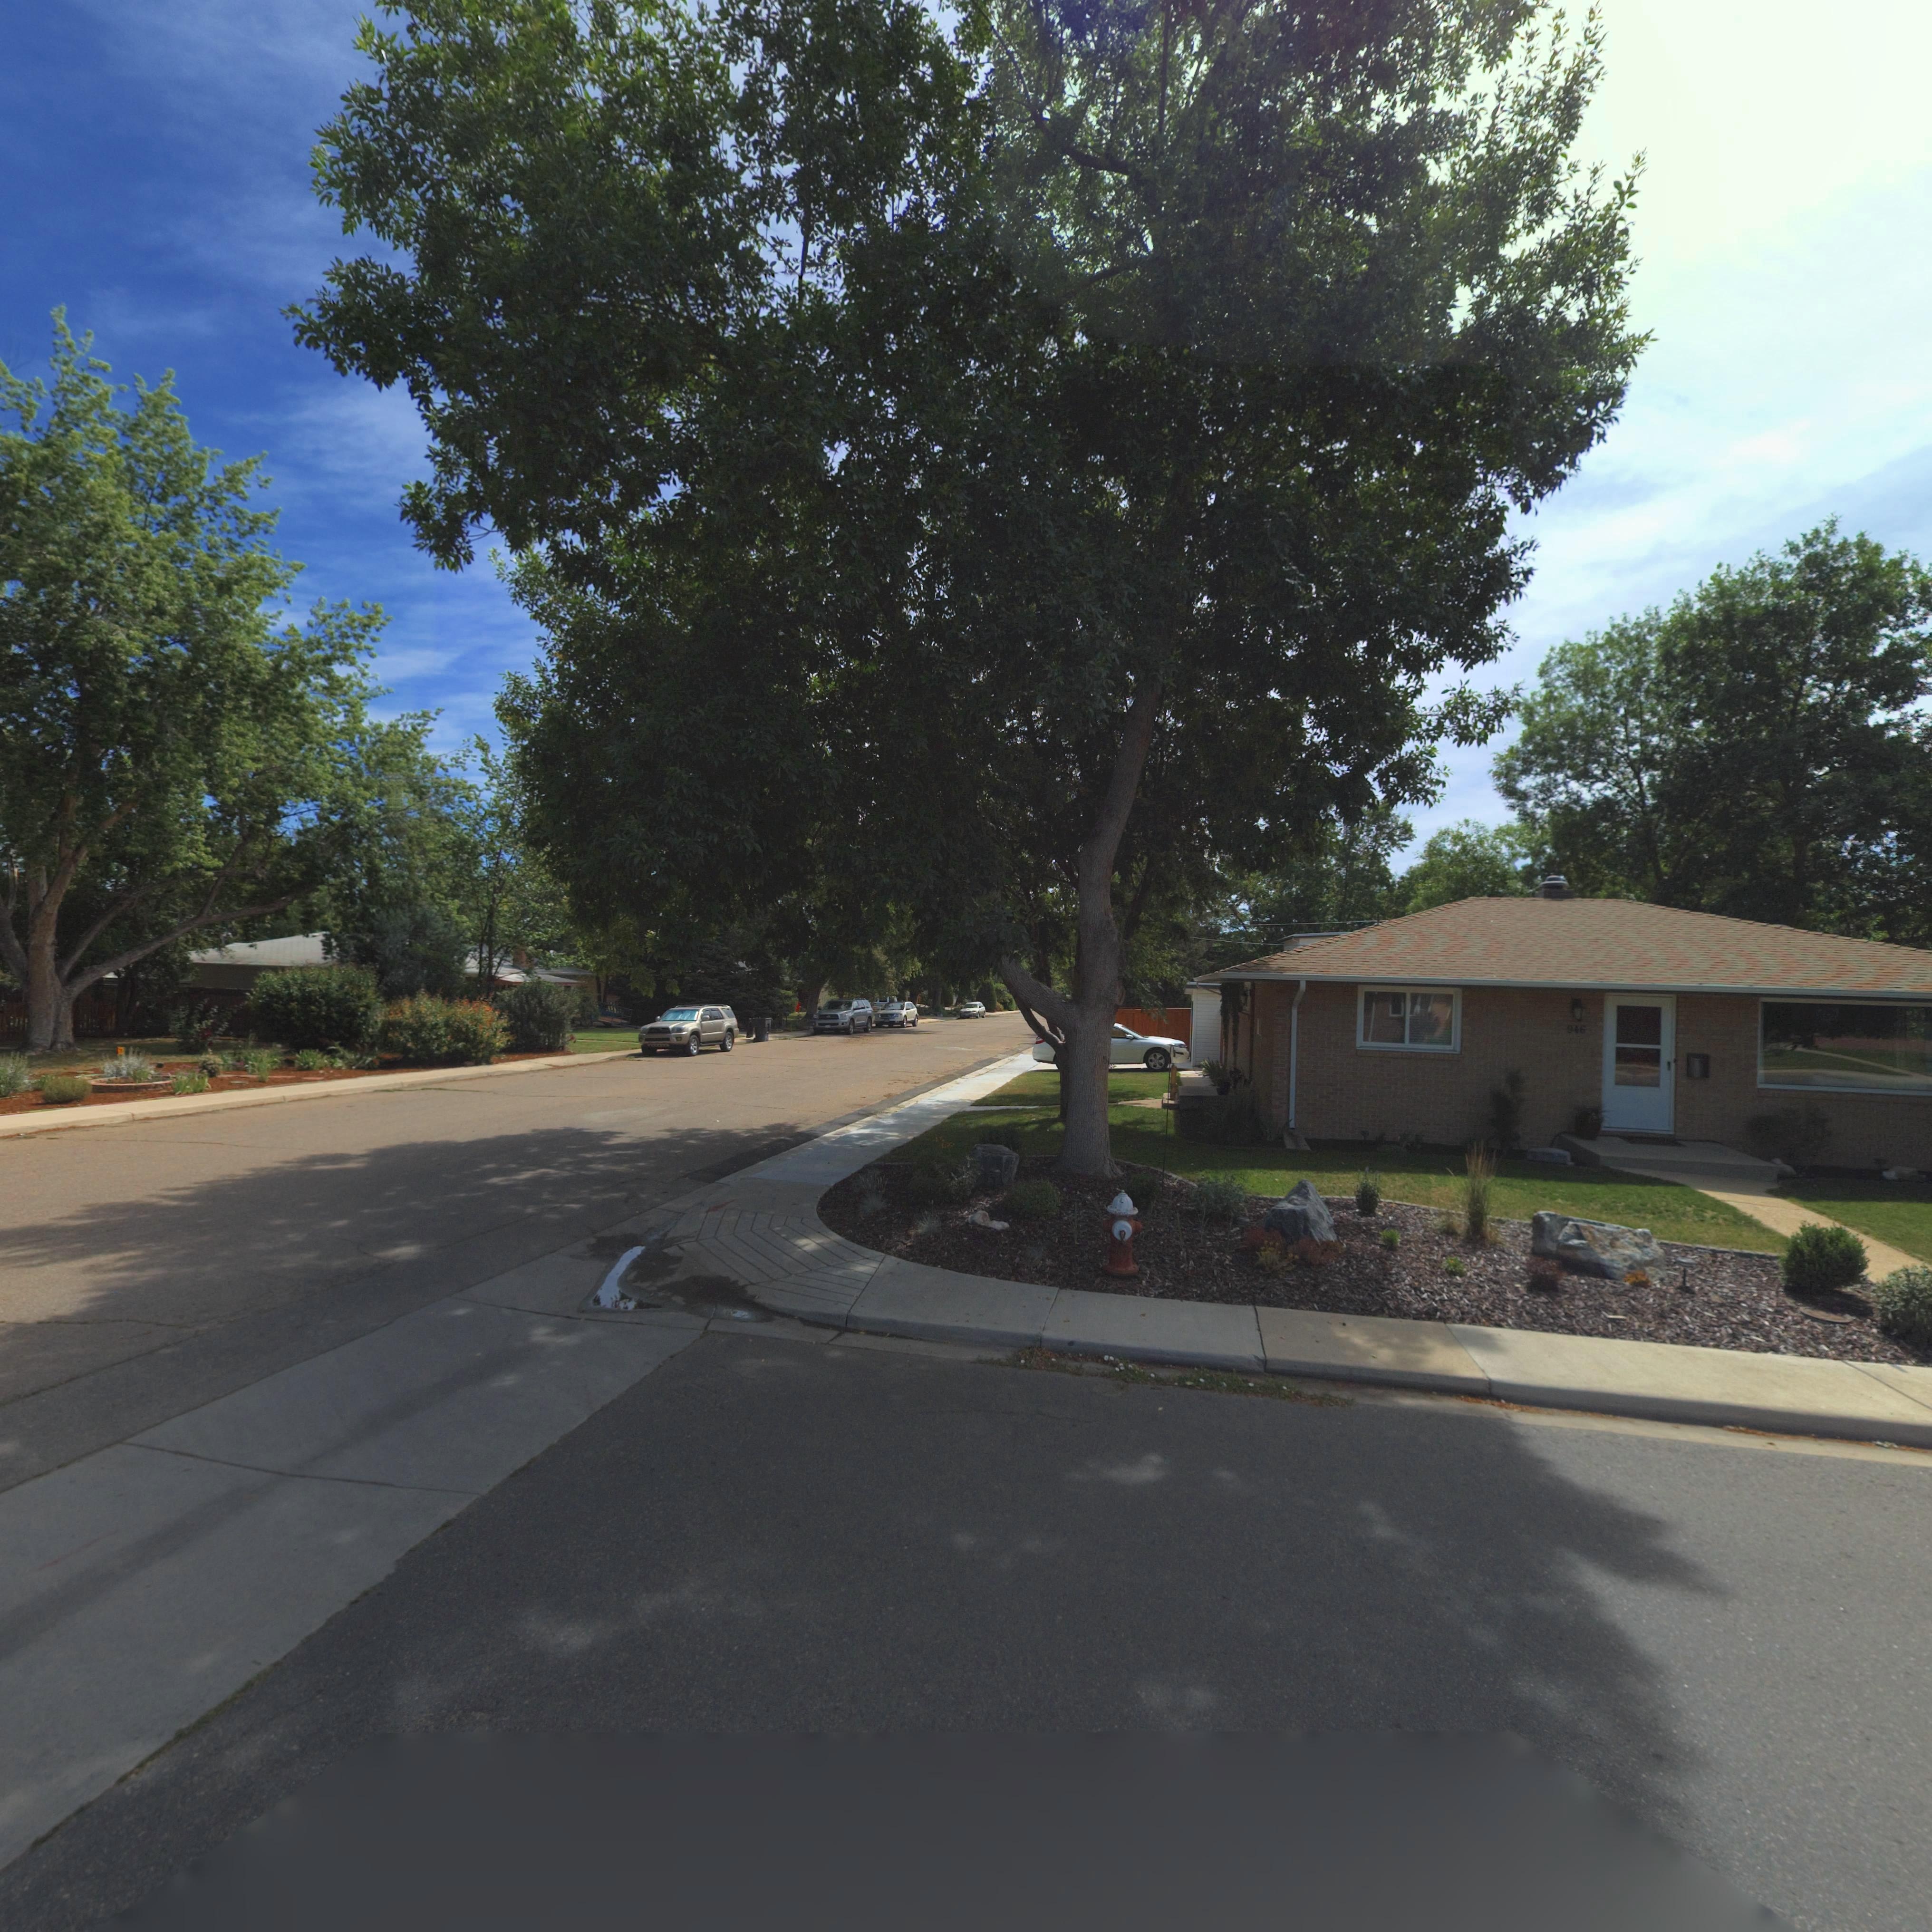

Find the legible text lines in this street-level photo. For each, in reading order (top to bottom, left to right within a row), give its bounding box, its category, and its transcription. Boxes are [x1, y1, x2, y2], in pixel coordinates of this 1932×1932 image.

[1566, 1024, 1587, 1034] StreetNumber: 946